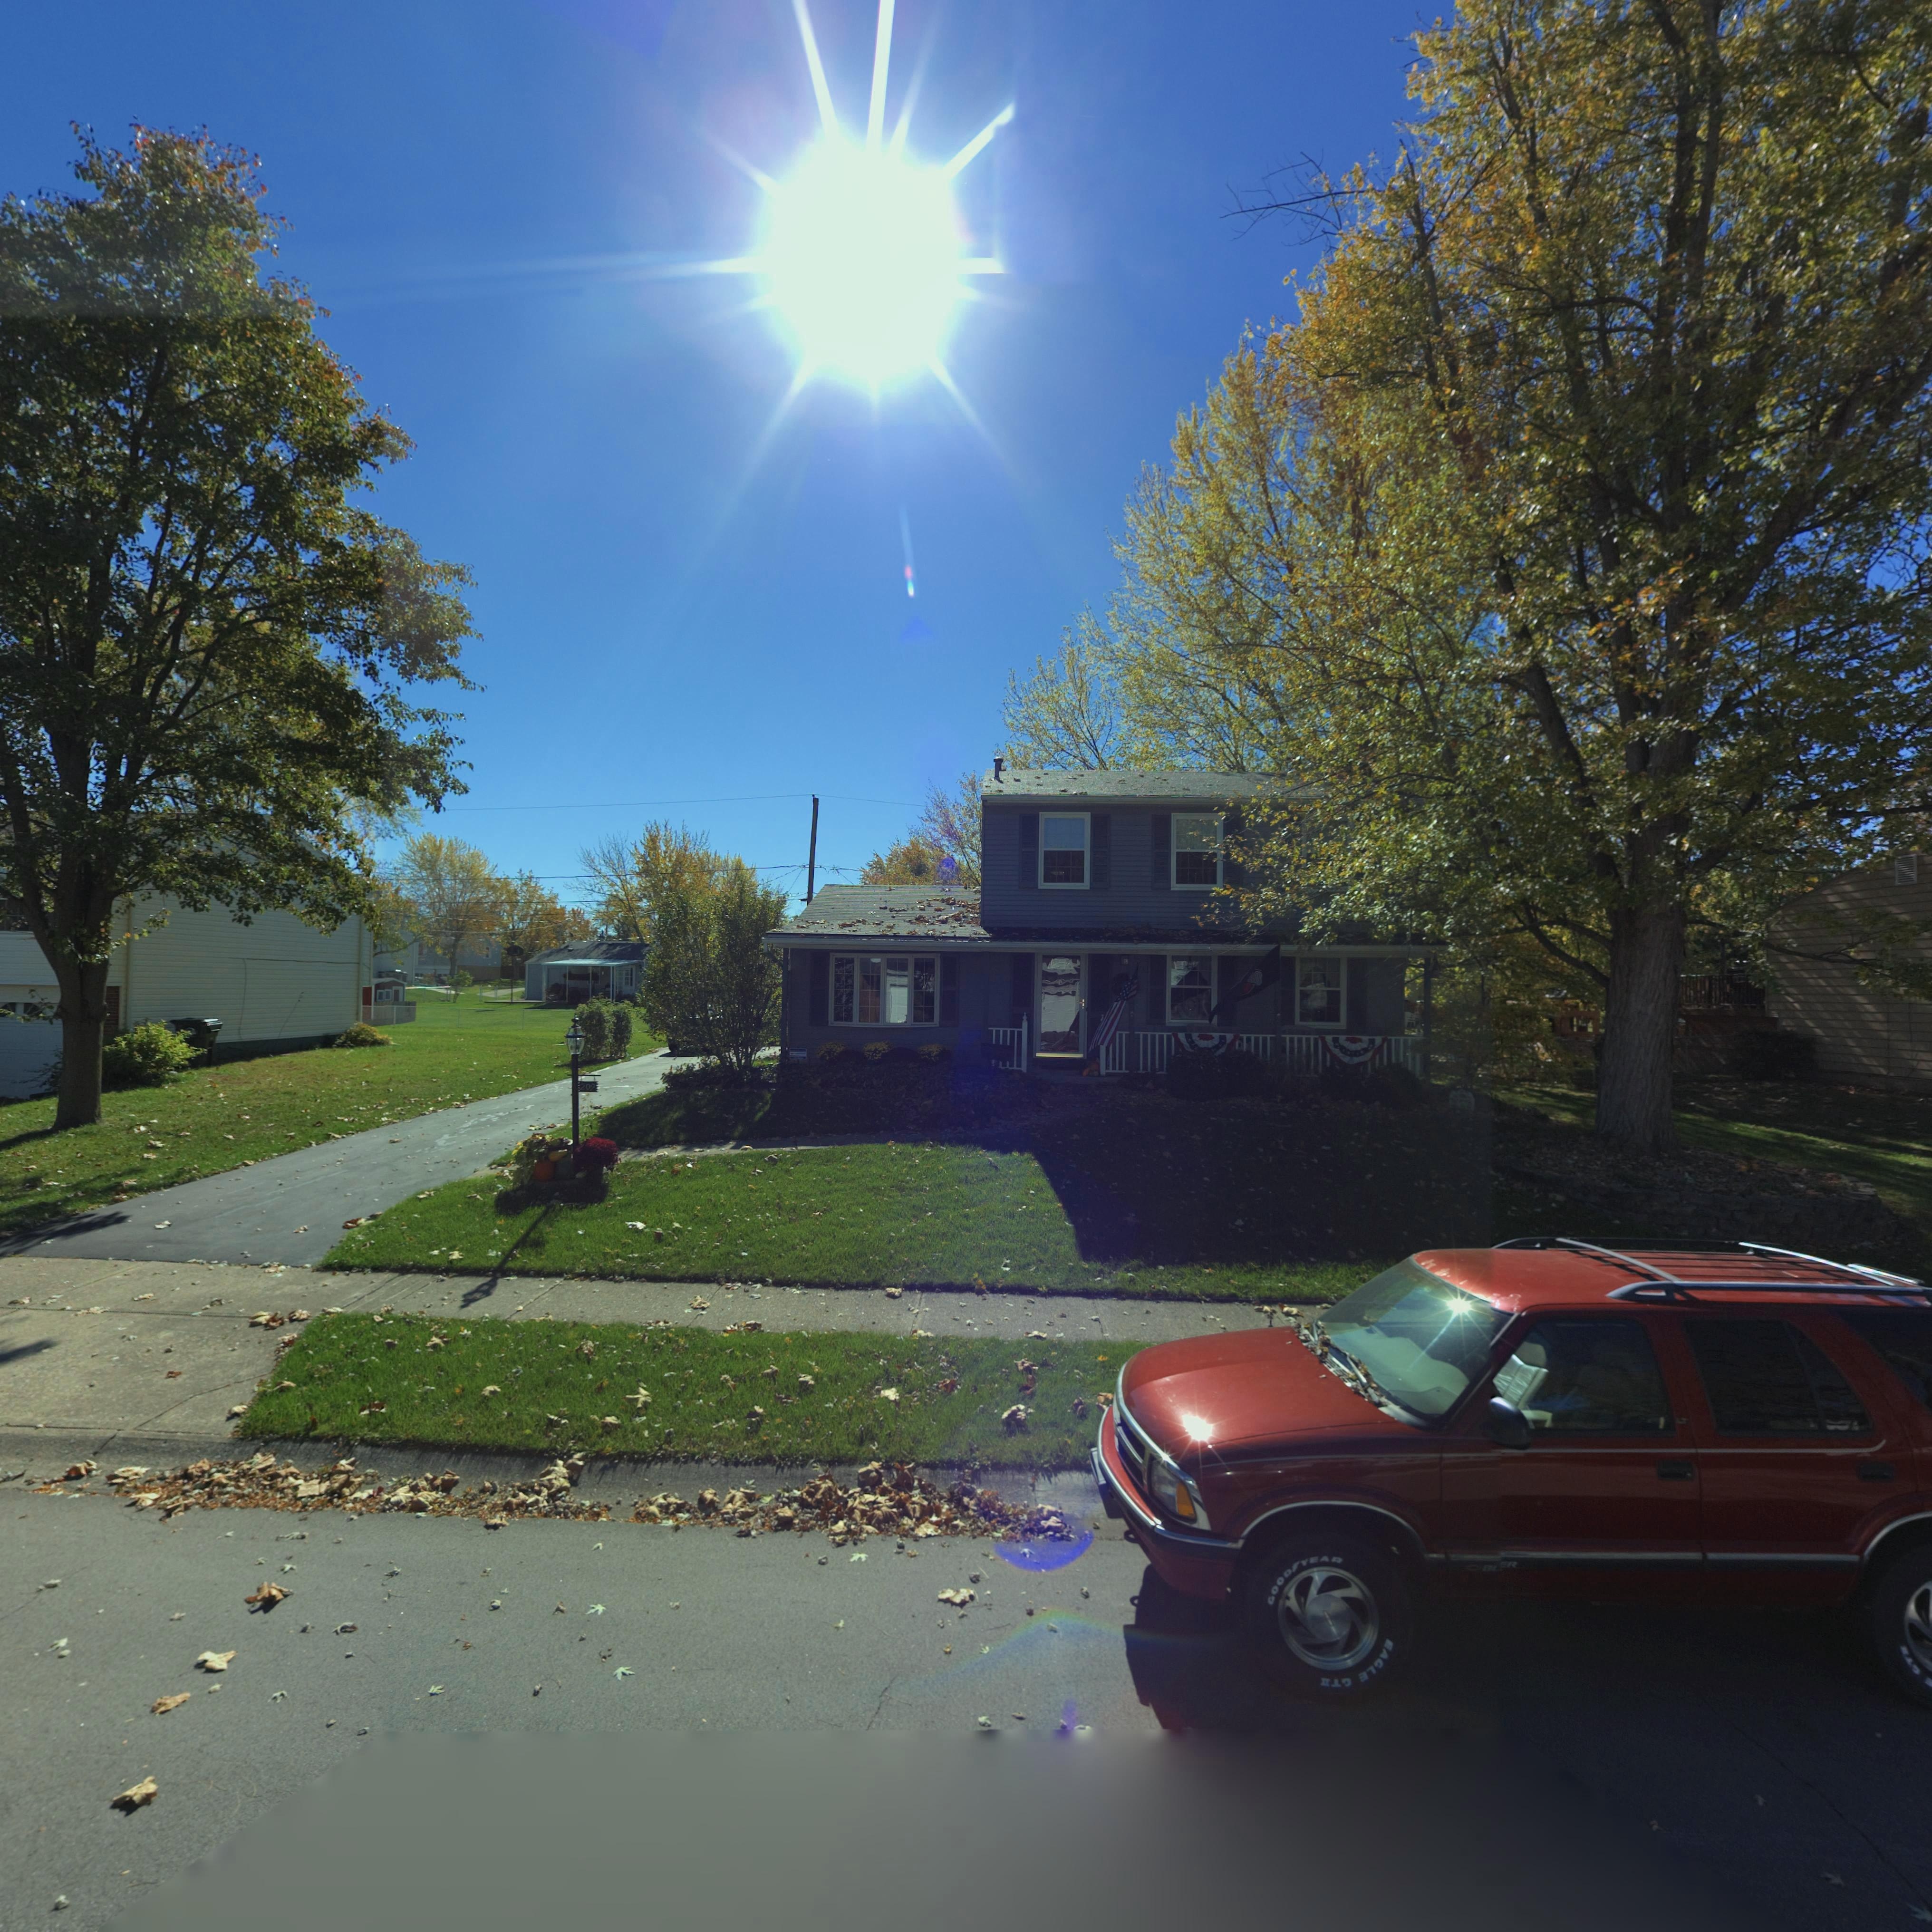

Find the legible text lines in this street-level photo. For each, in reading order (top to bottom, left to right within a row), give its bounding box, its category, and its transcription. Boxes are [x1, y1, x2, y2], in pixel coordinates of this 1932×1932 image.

[580, 1082, 596, 1092] StreetNumber: 209